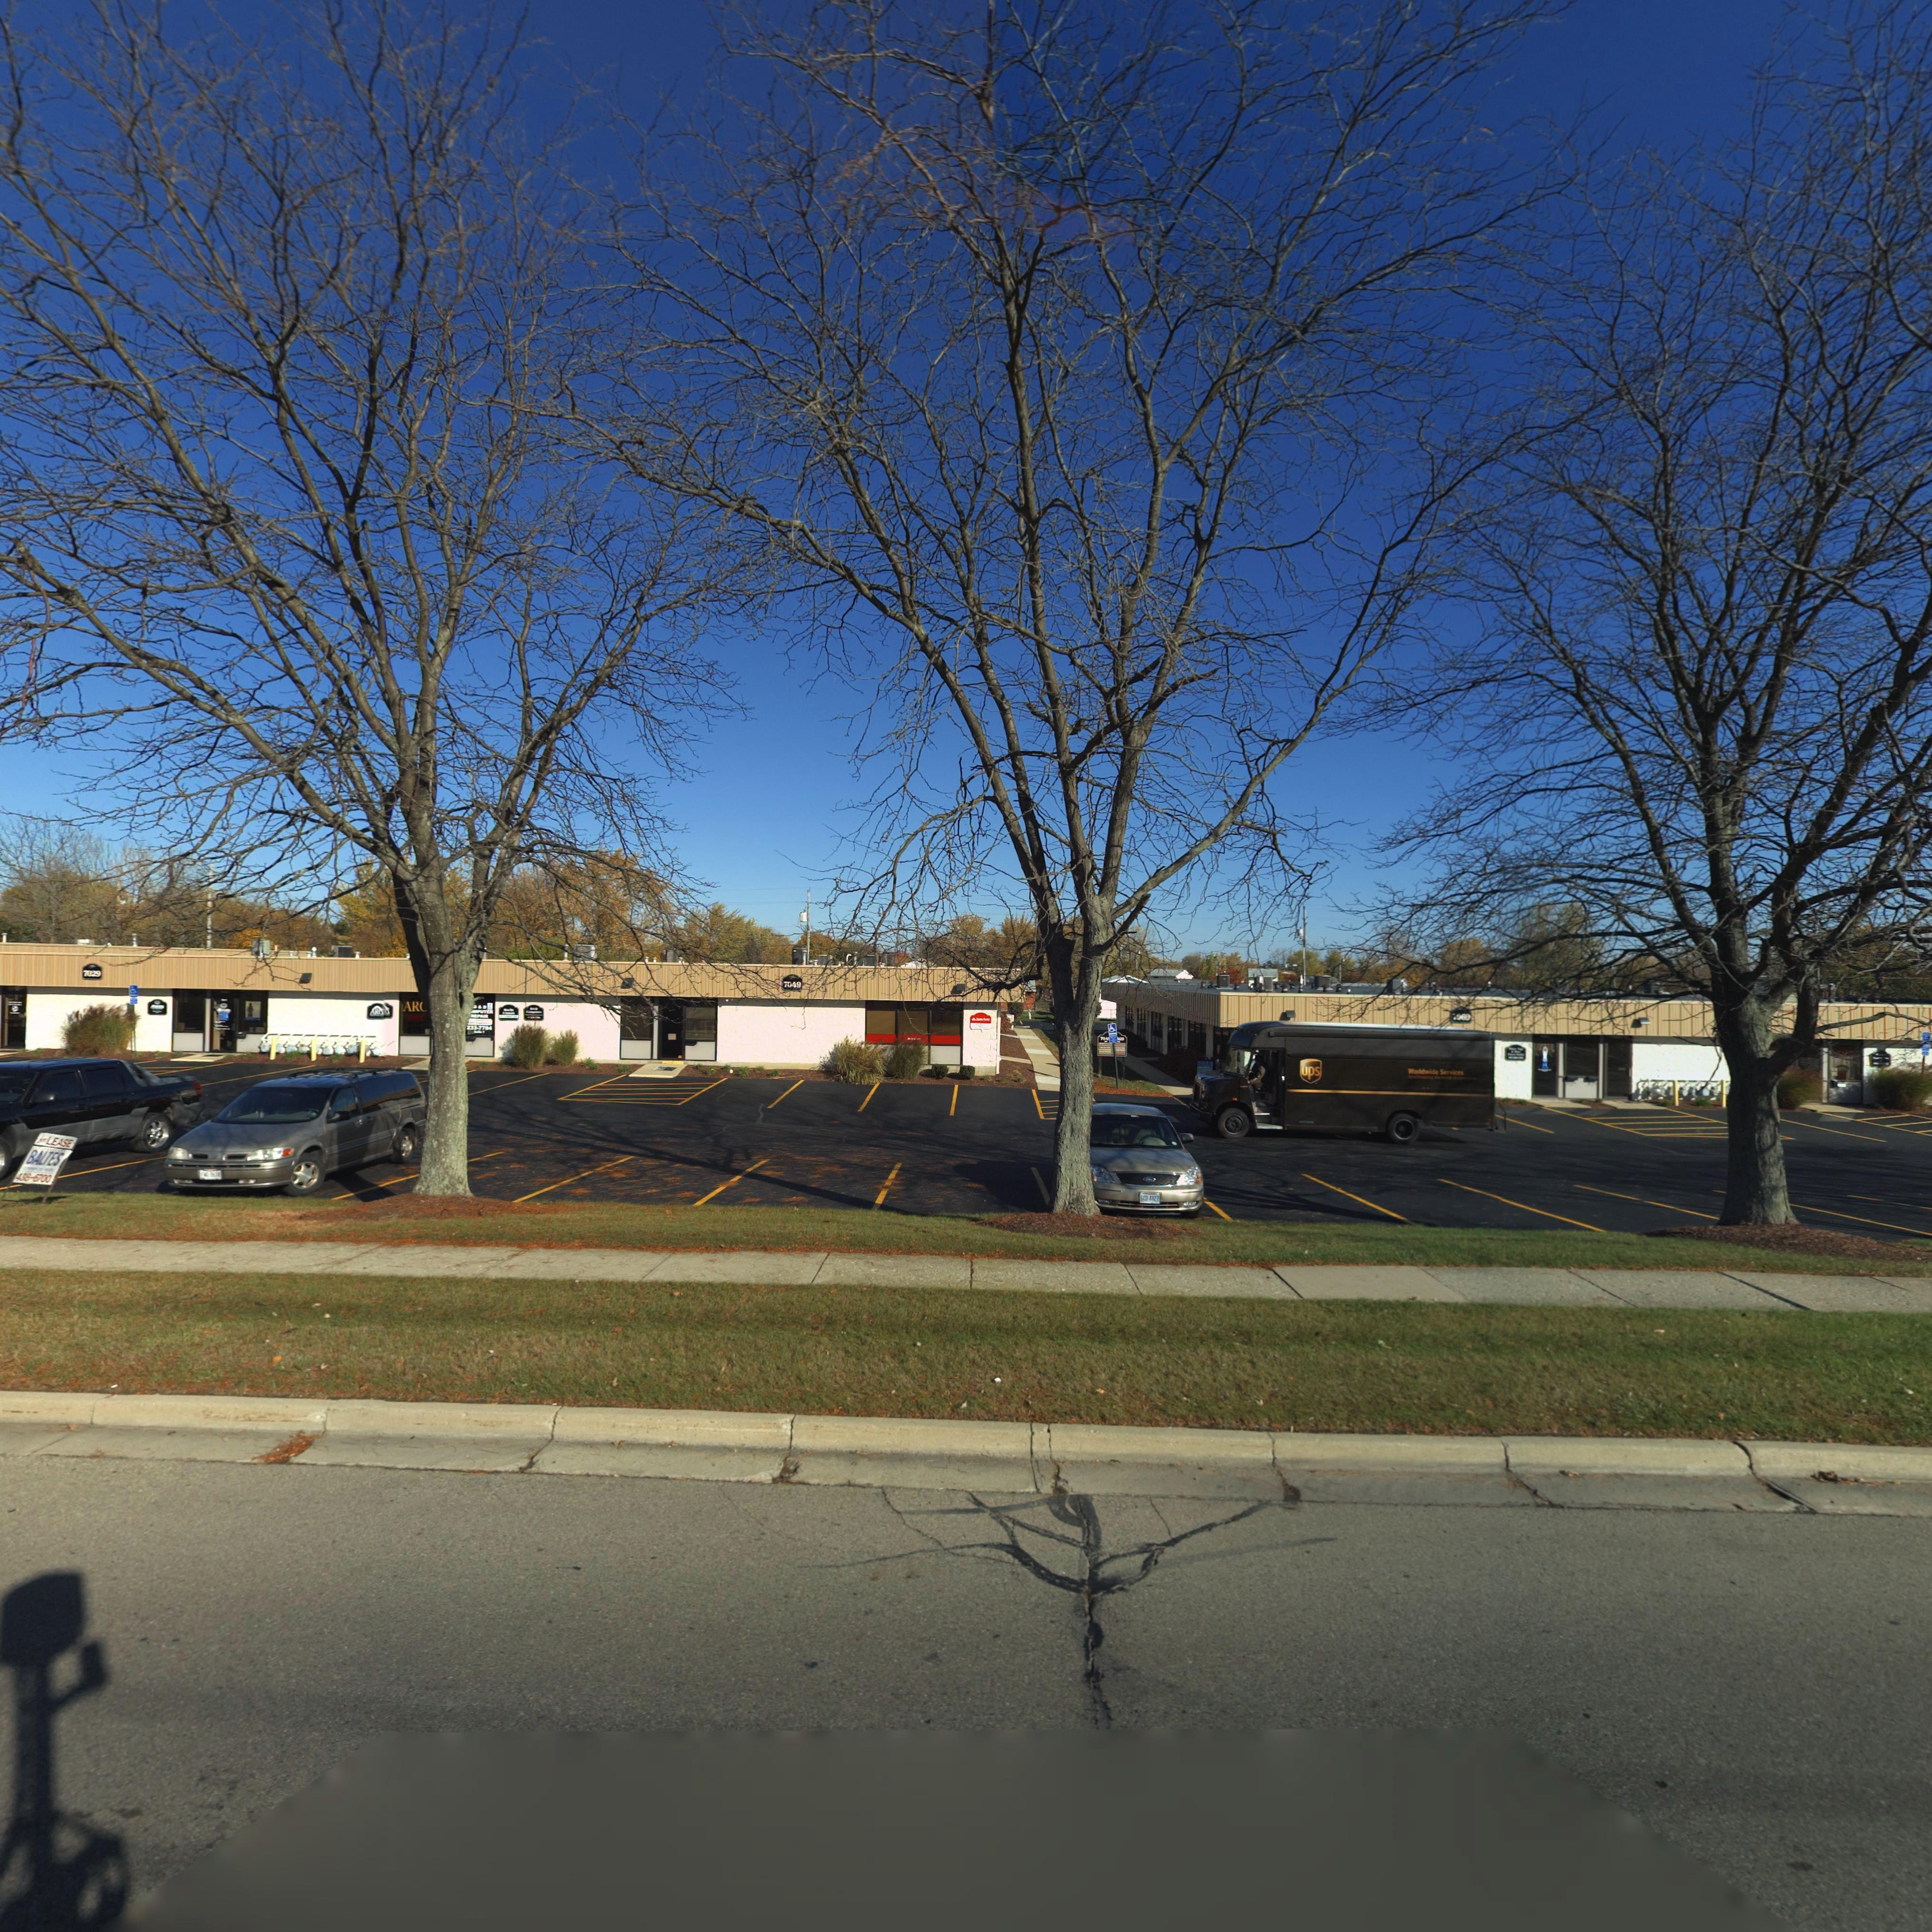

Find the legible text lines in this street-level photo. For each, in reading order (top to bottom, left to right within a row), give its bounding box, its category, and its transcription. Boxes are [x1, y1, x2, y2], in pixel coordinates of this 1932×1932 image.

[82, 969, 103, 978] StreetNumber: 7029
[782, 980, 802, 989] StreetNumber: 7049
[402, 1000, 421, 1013] BusinessName: AR
[1449, 1012, 1472, 1022] StreetNumber: **6*
[1099, 1035, 1109, 1042] StreetNumber: 7**